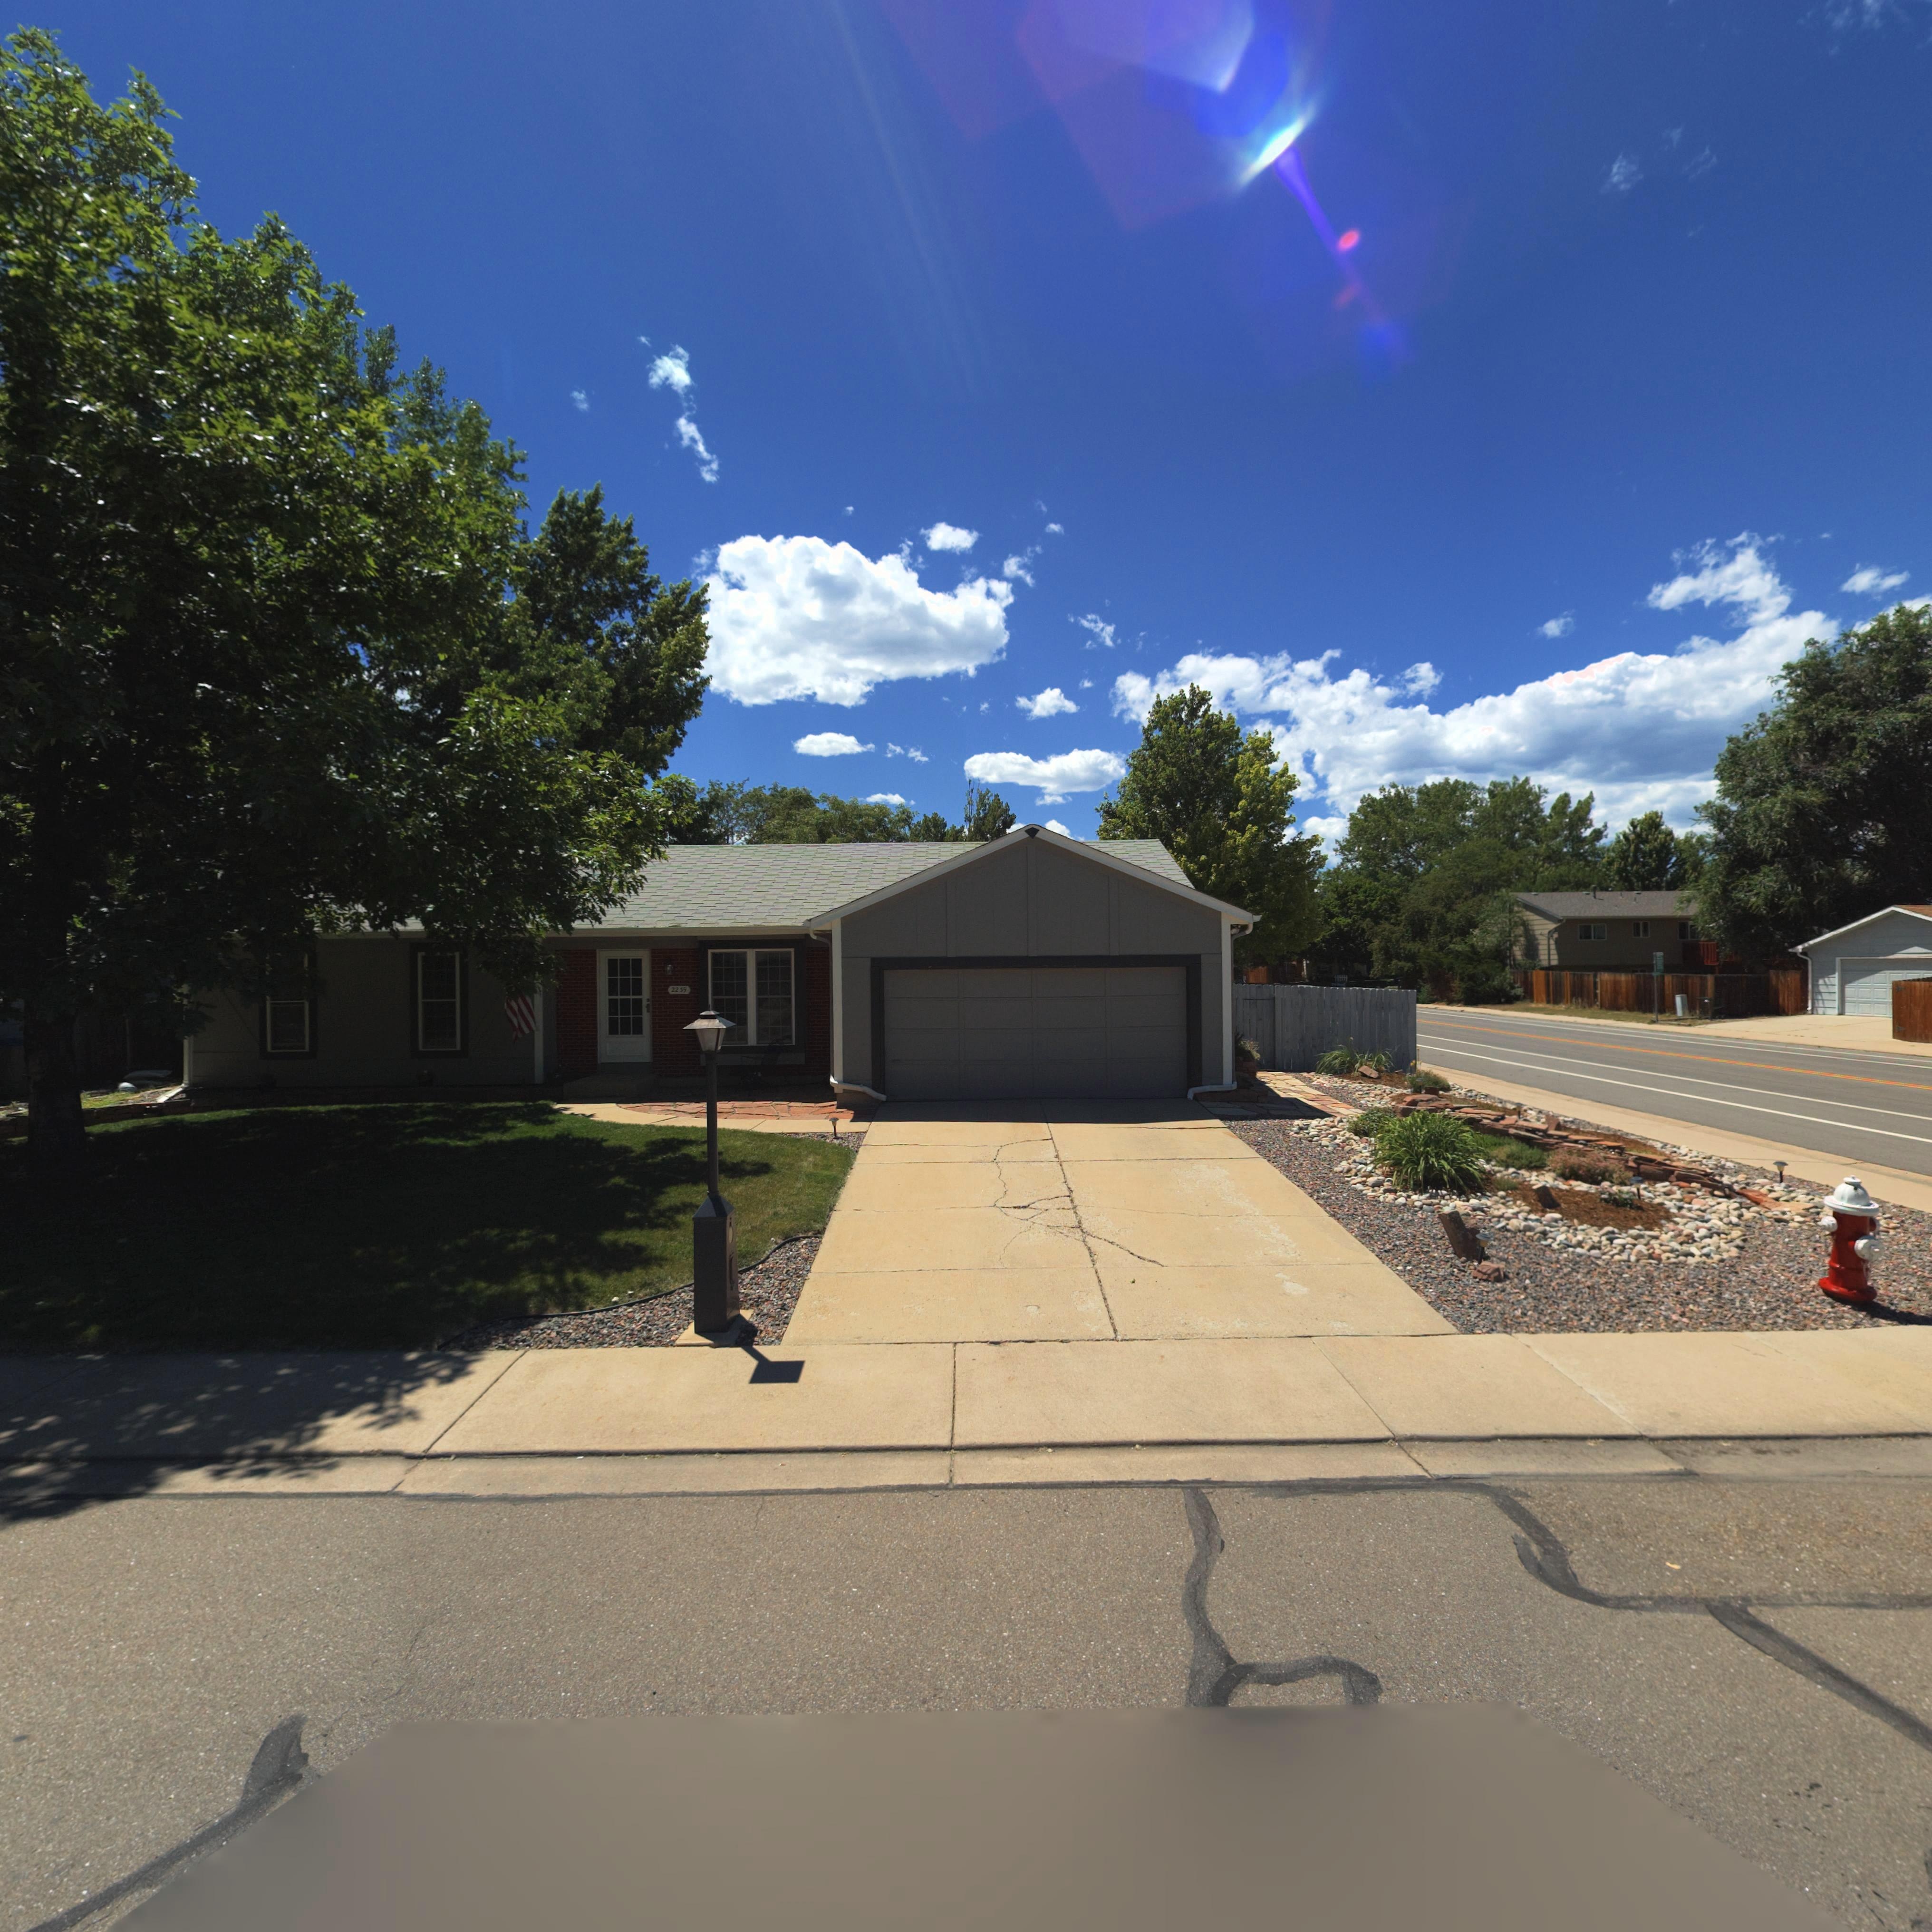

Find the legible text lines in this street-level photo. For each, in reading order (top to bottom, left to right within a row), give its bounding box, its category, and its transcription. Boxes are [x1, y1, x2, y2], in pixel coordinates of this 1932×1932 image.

[671, 986, 686, 992] StreetNumber: 2239